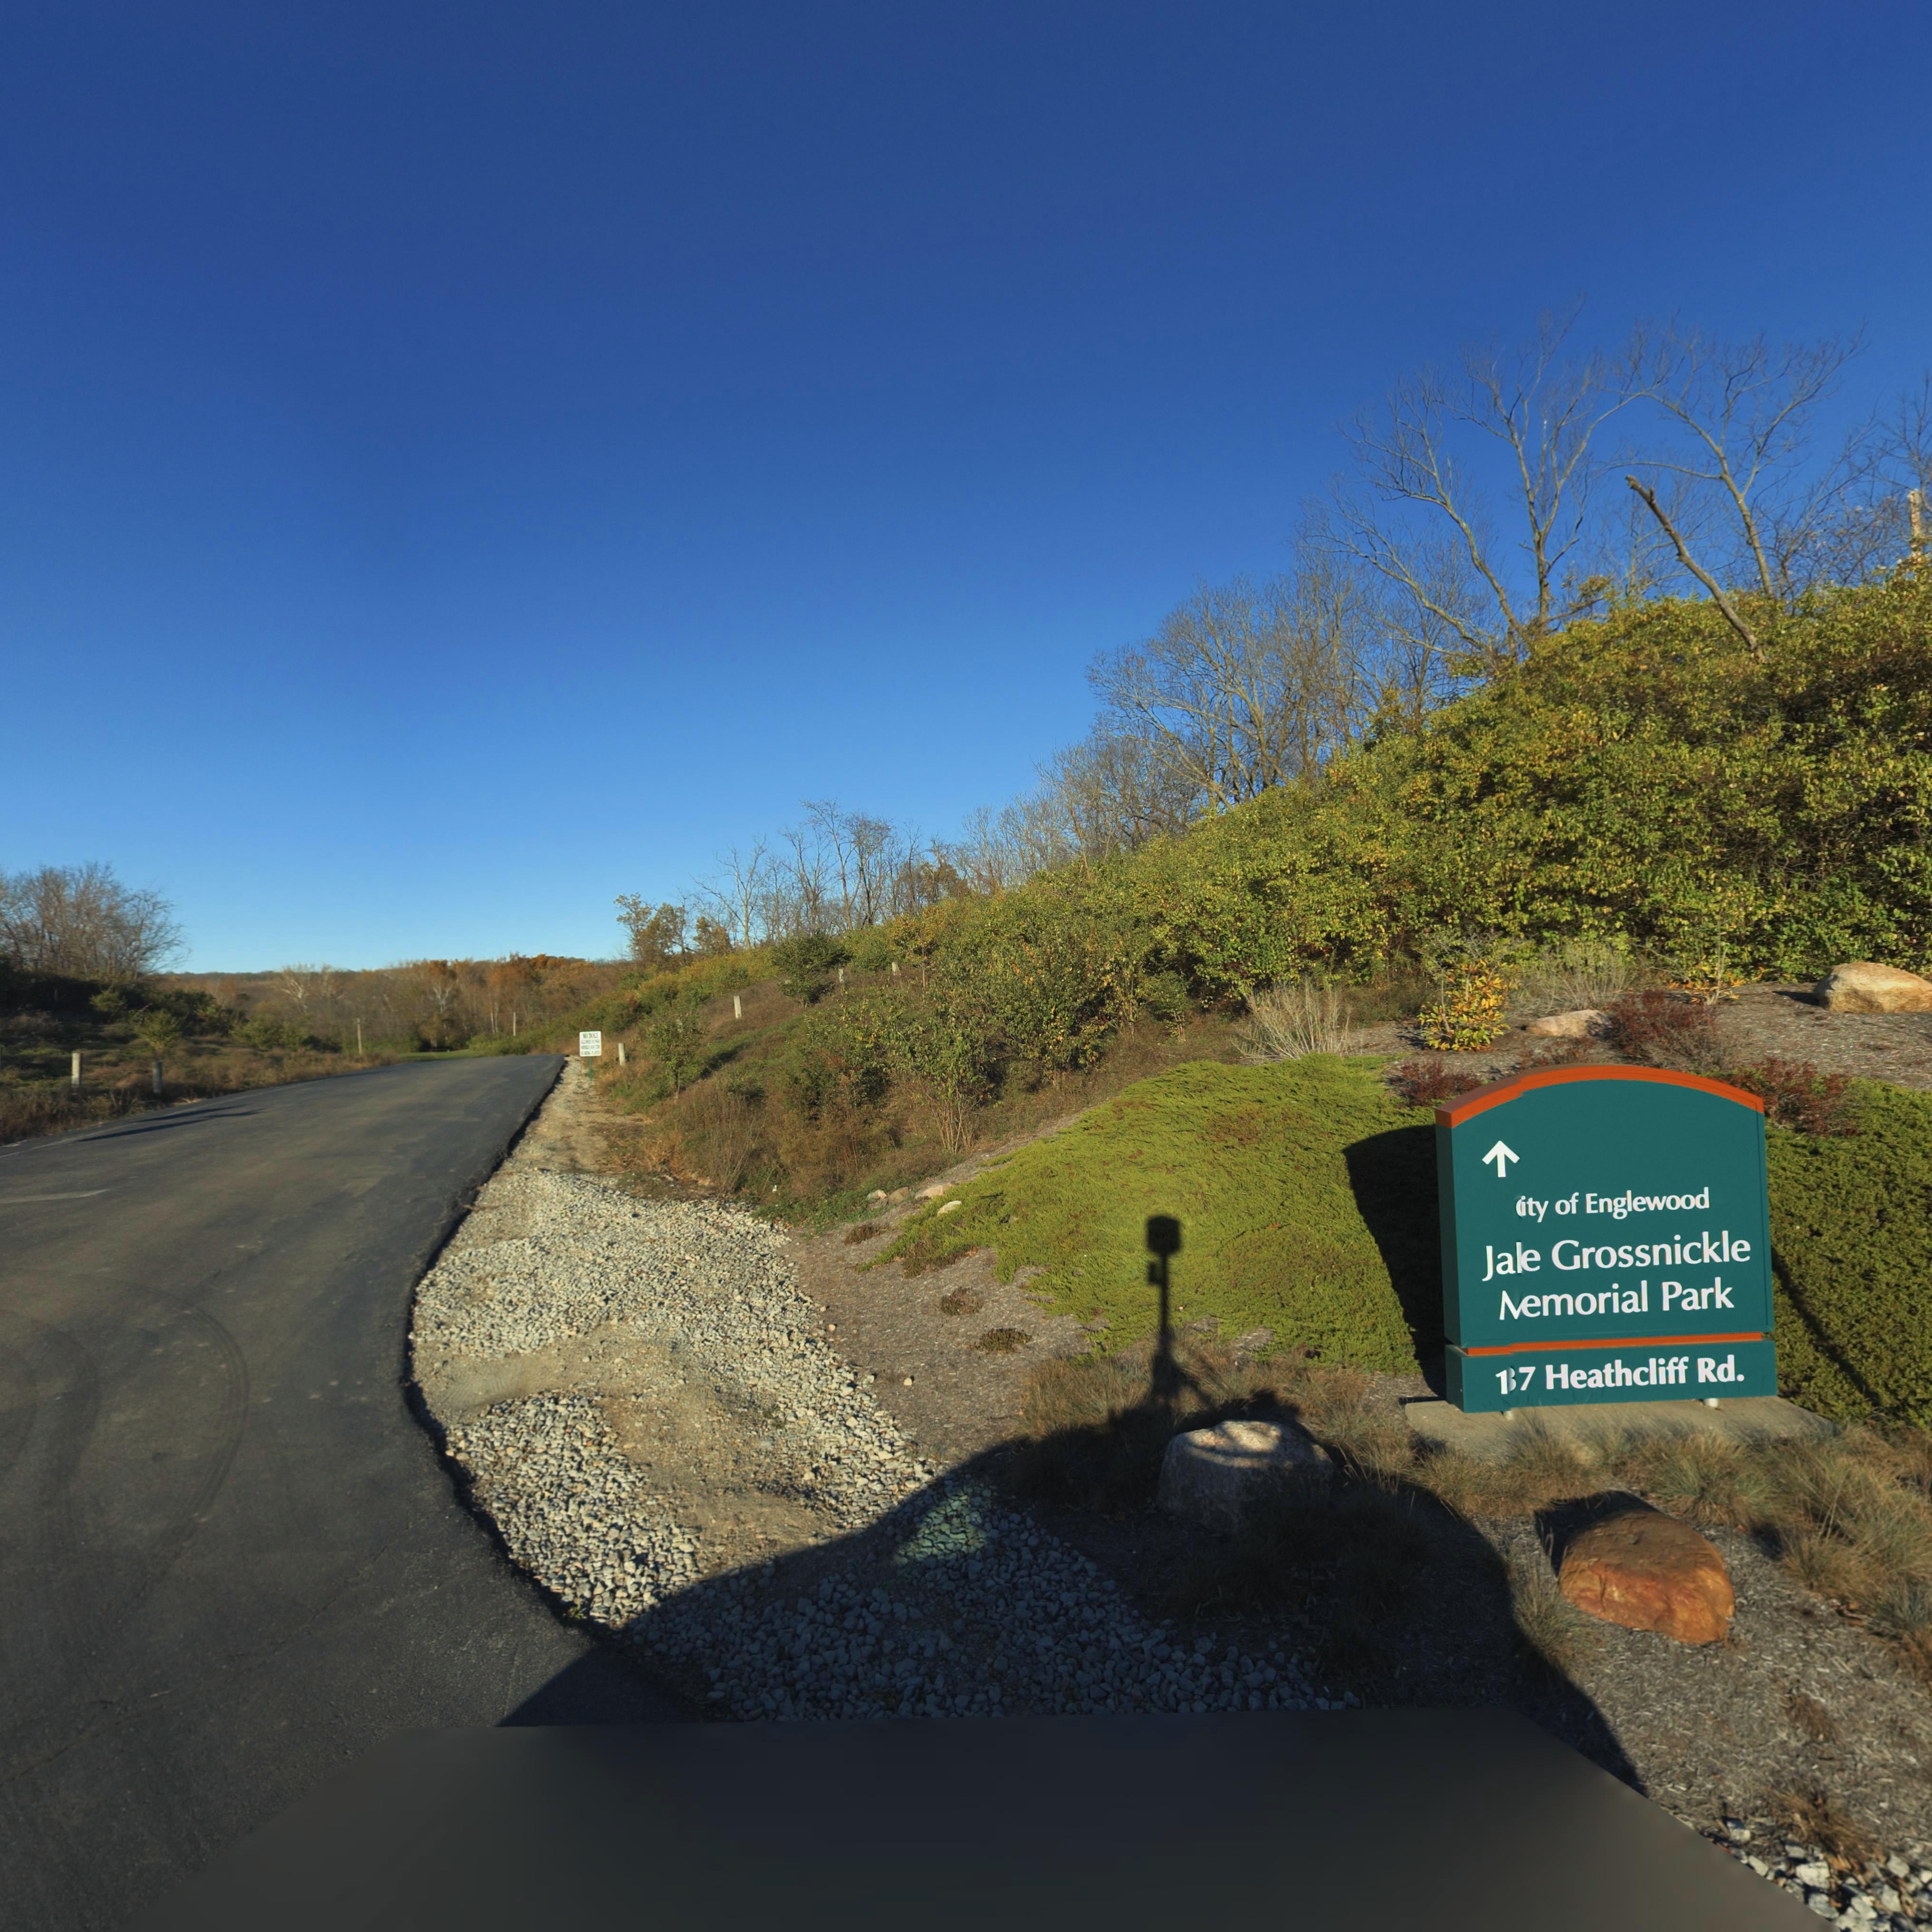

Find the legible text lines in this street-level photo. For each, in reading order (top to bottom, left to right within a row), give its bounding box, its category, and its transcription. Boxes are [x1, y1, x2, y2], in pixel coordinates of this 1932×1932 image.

[1494, 1365, 1537, 1395] StreetNumber: 1*7